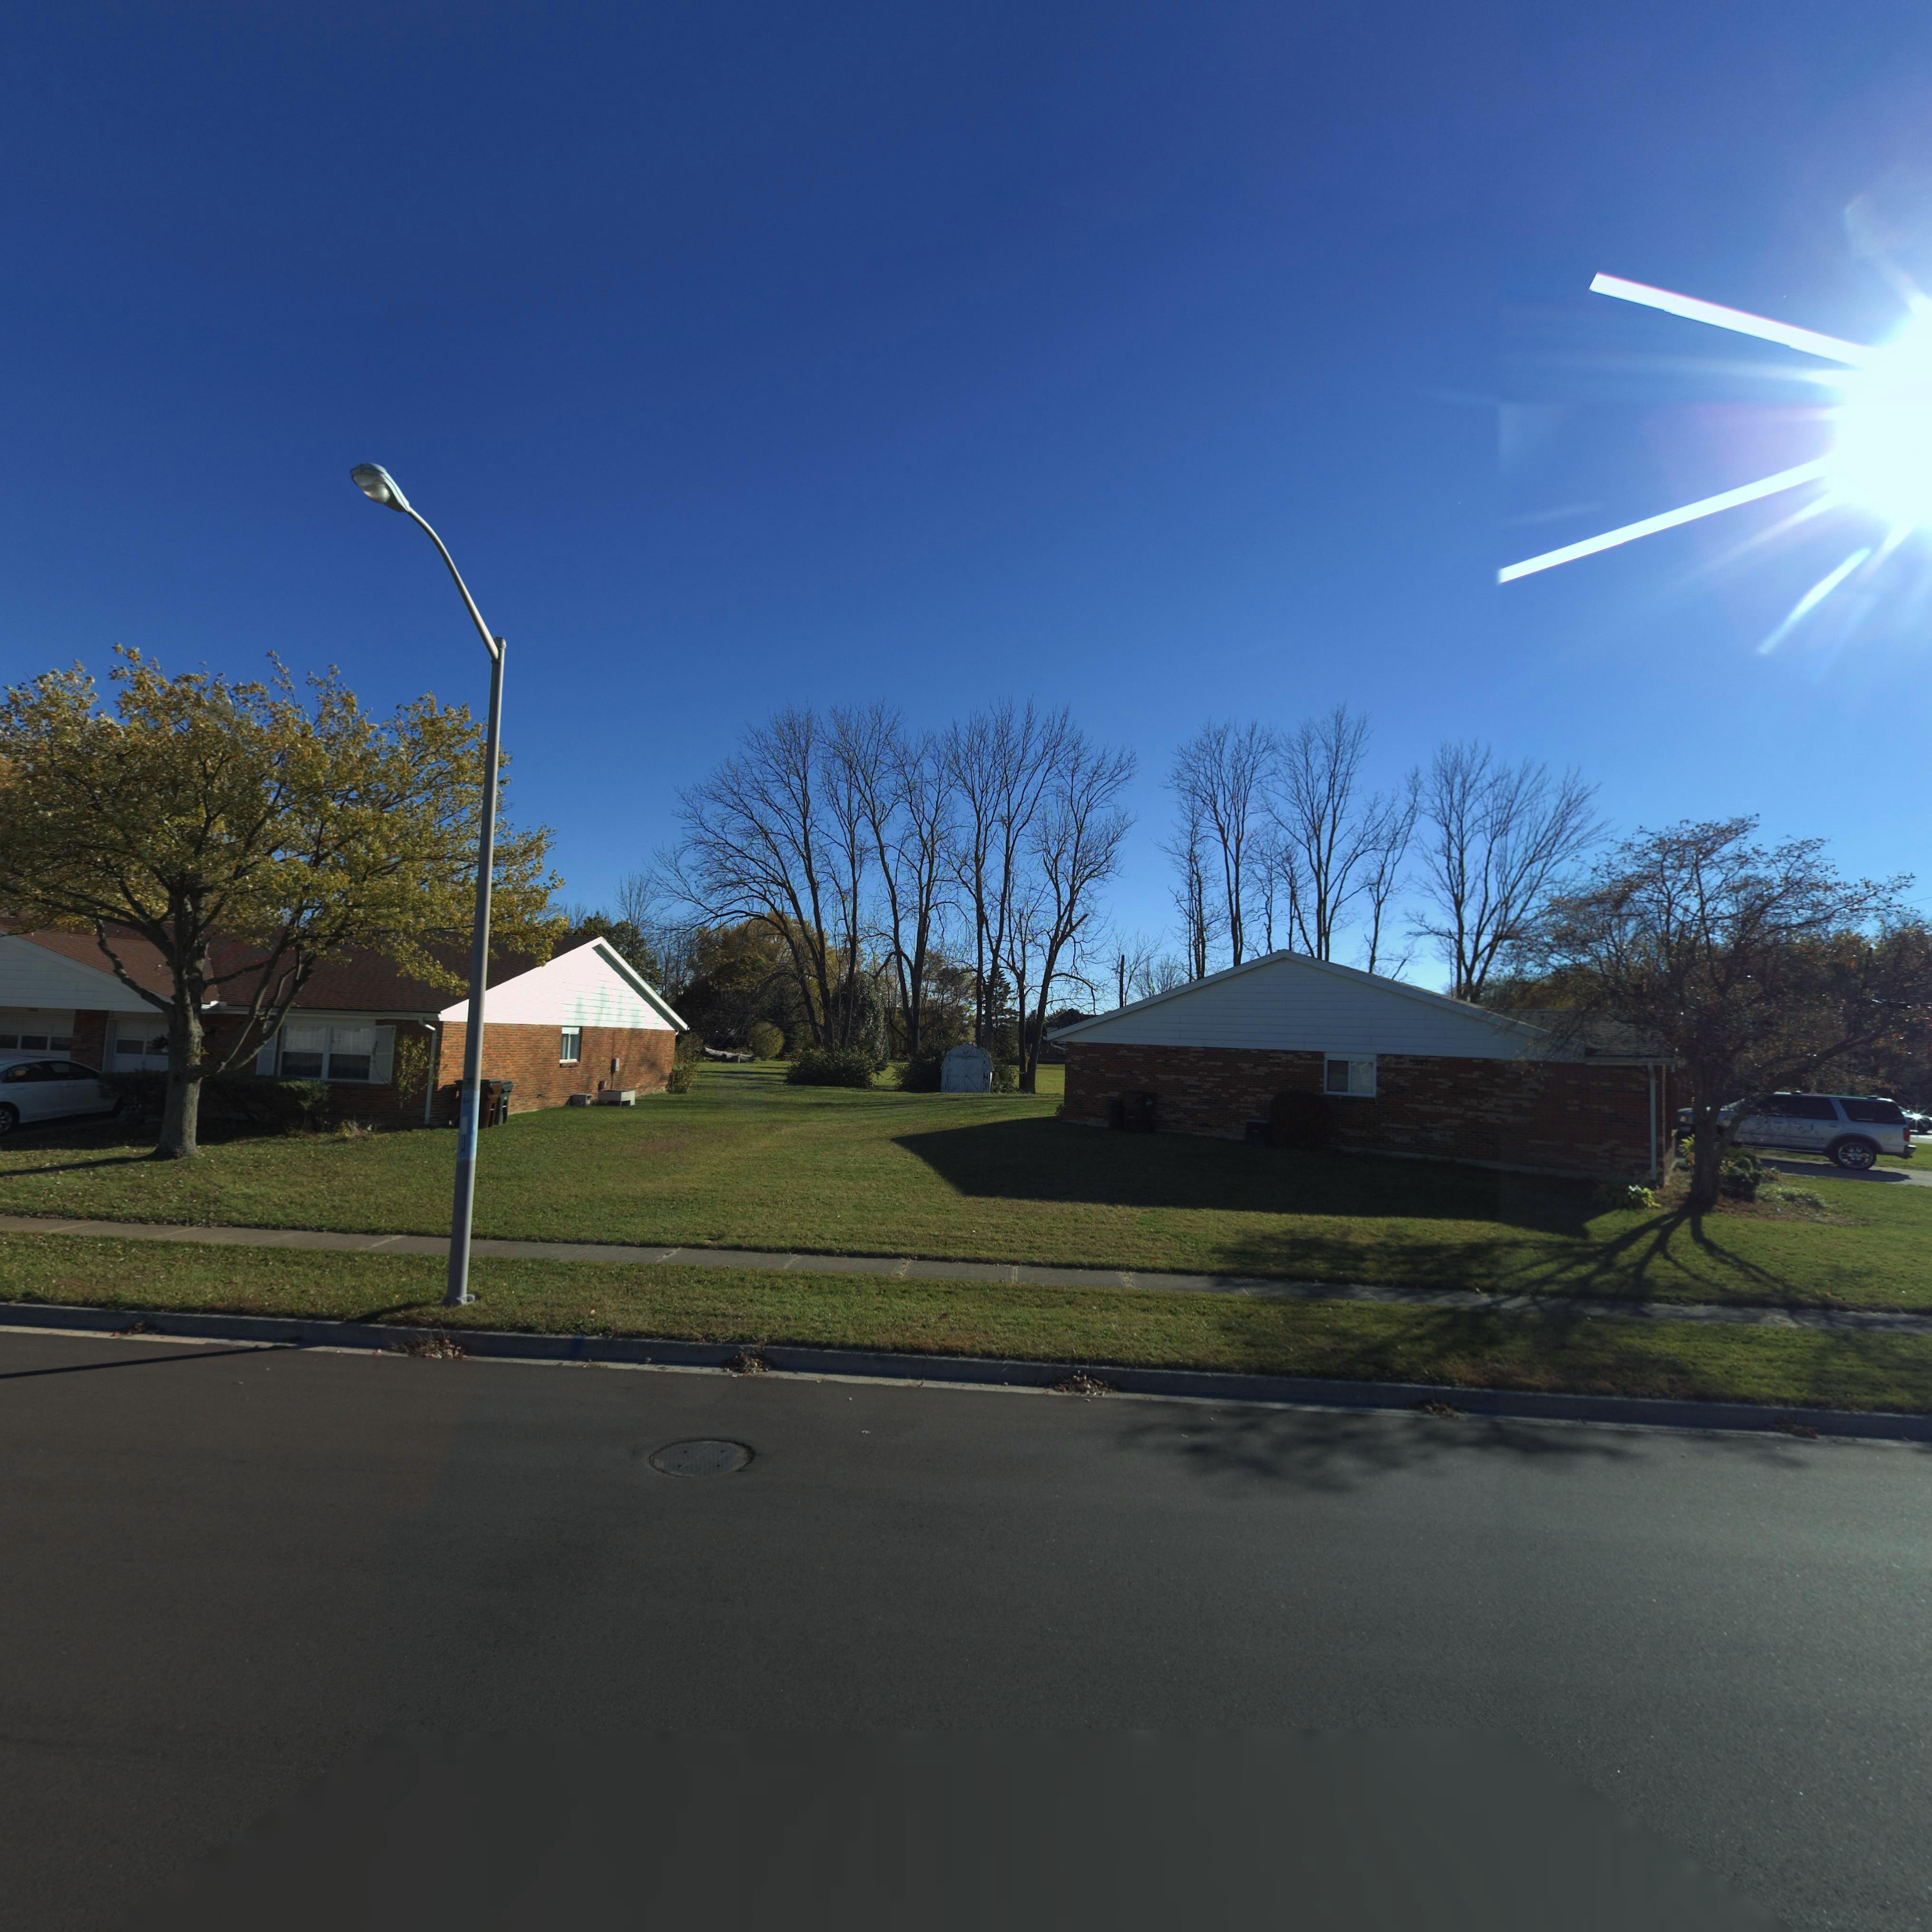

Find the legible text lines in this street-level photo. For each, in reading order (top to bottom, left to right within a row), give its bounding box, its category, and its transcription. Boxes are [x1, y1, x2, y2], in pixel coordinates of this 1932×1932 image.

[26, 1007, 39, 1013] StreetNumber: 40*6